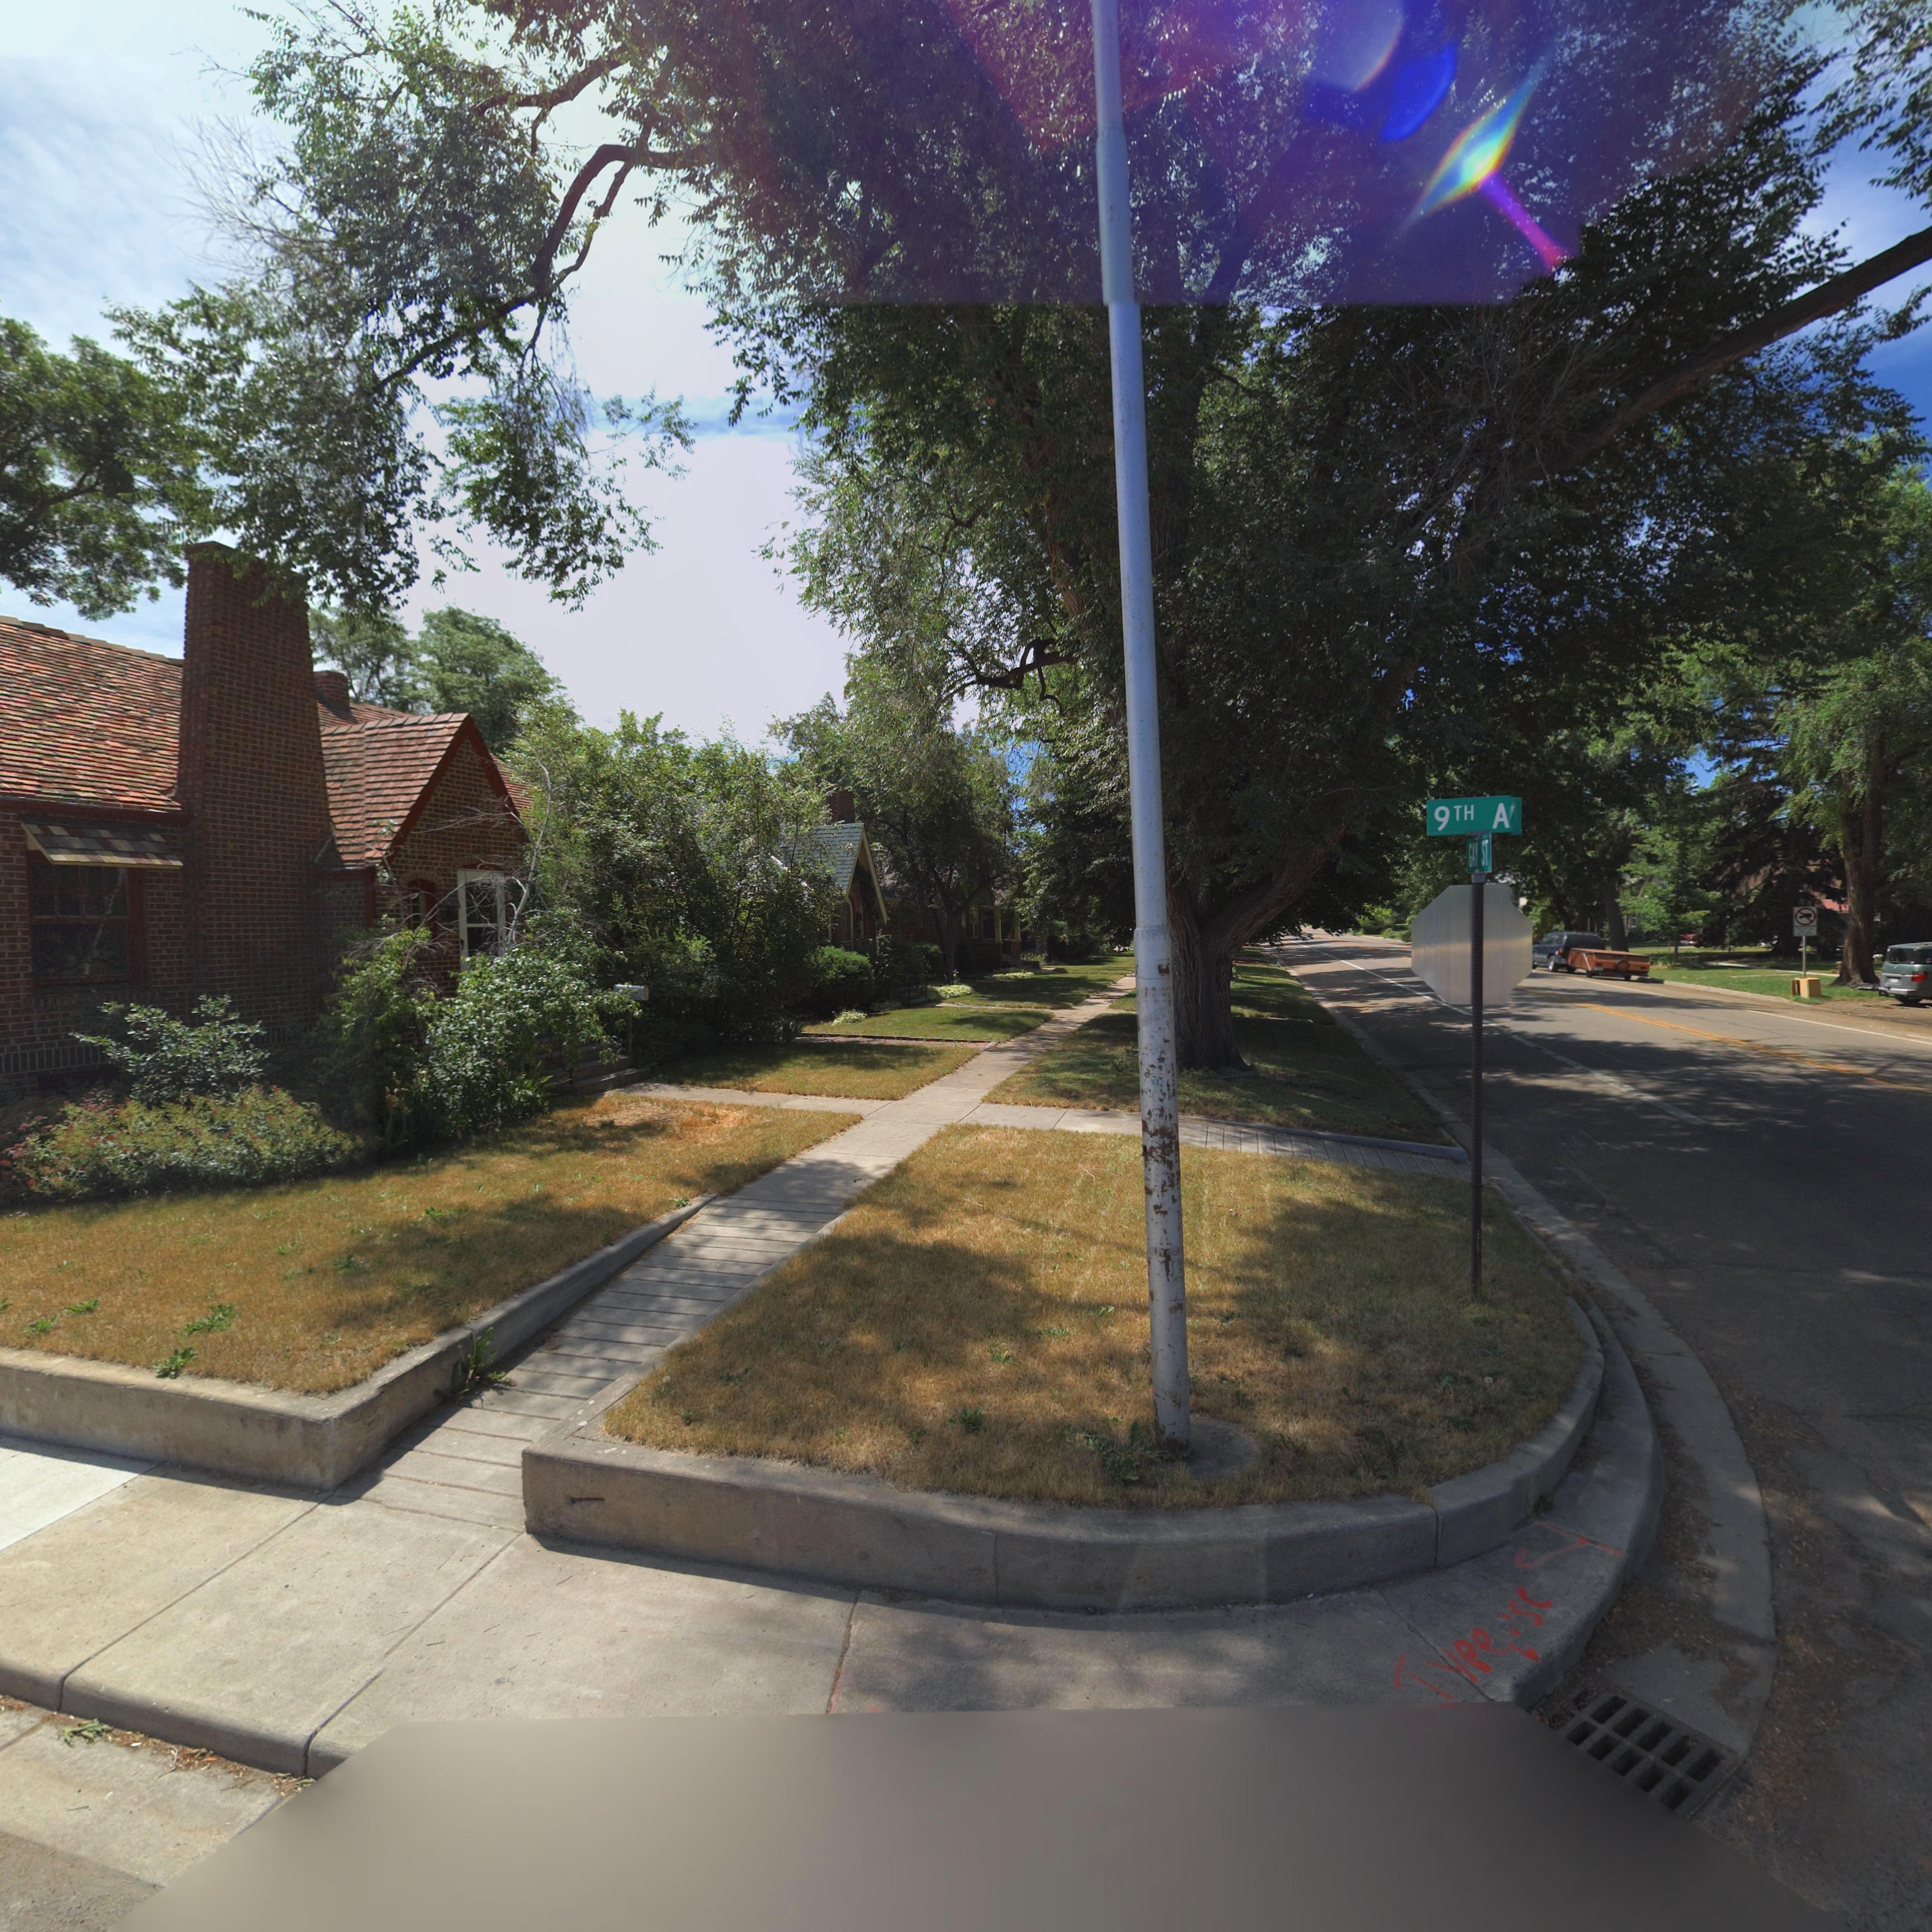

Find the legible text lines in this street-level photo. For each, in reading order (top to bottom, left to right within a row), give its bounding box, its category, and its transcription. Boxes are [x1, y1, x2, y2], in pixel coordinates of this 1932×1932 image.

[1432, 801, 1517, 832] StreetName: 9TH A*
[1467, 839, 1488, 868] StreetName: GAY ST